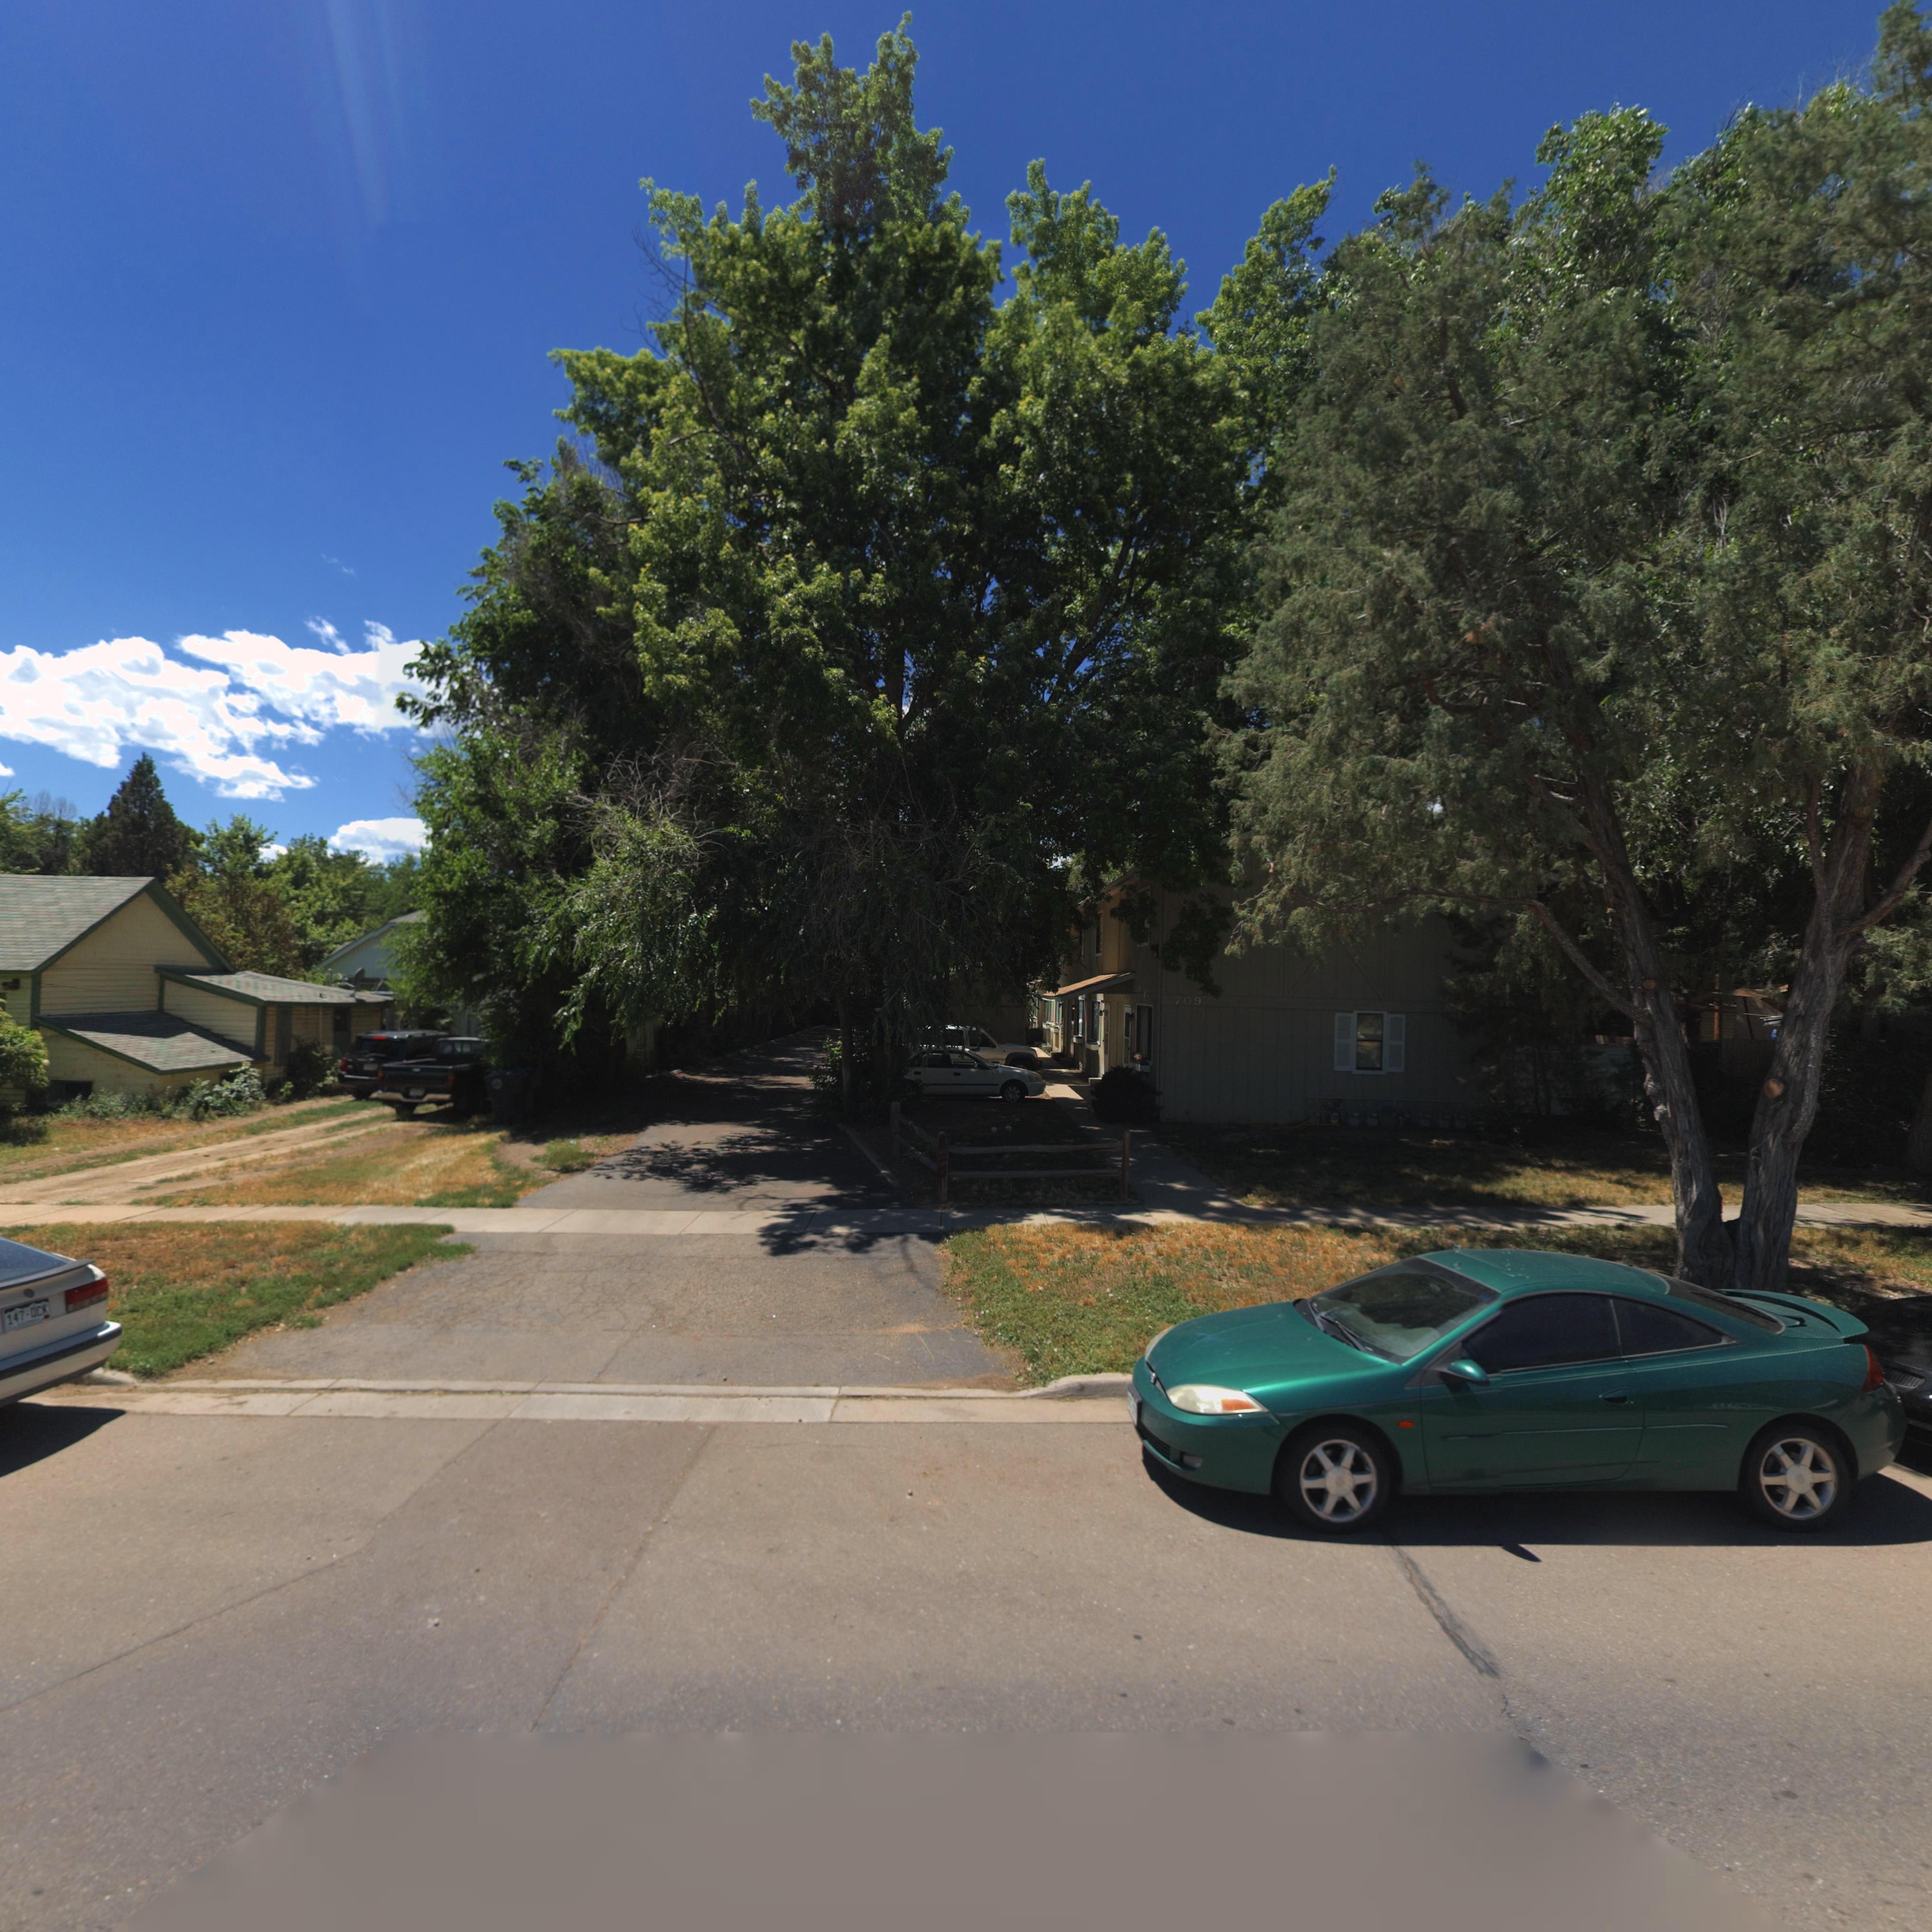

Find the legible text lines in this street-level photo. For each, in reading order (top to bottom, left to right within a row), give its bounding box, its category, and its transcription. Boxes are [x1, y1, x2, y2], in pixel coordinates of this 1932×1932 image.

[1173, 996, 1201, 1005] StreetNumber: 709